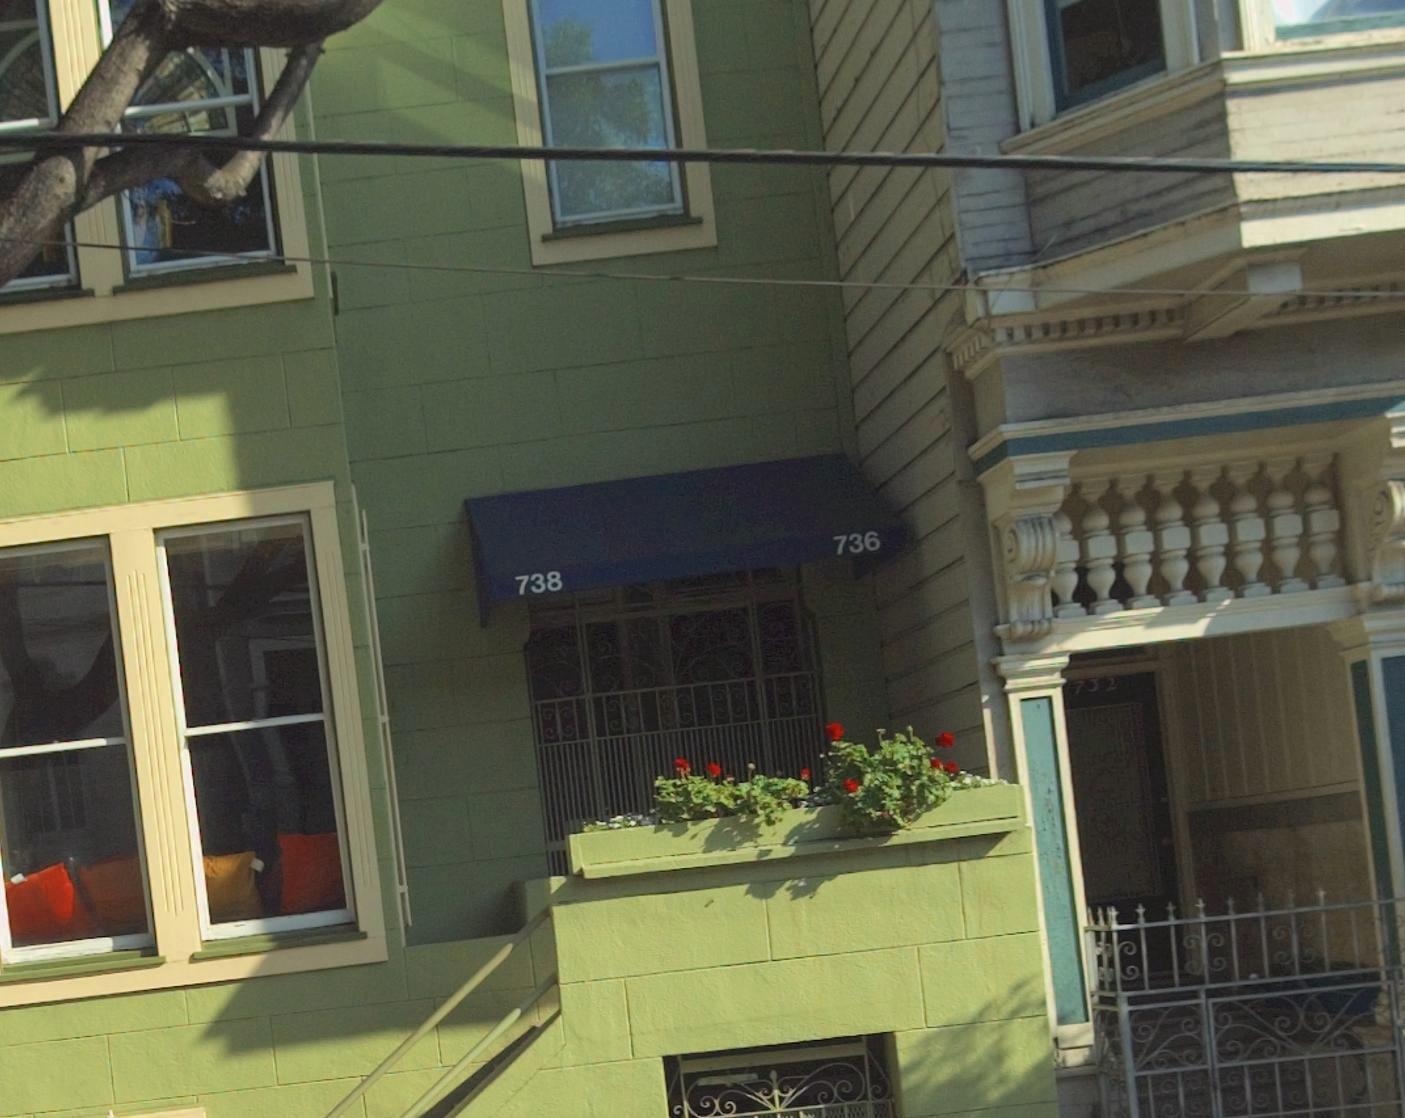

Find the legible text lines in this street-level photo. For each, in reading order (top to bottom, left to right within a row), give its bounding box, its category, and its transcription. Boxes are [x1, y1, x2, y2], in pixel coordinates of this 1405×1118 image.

[830, 528, 883, 558] StreetNumber: 736
[511, 567, 565, 597] StreetNumber: 738